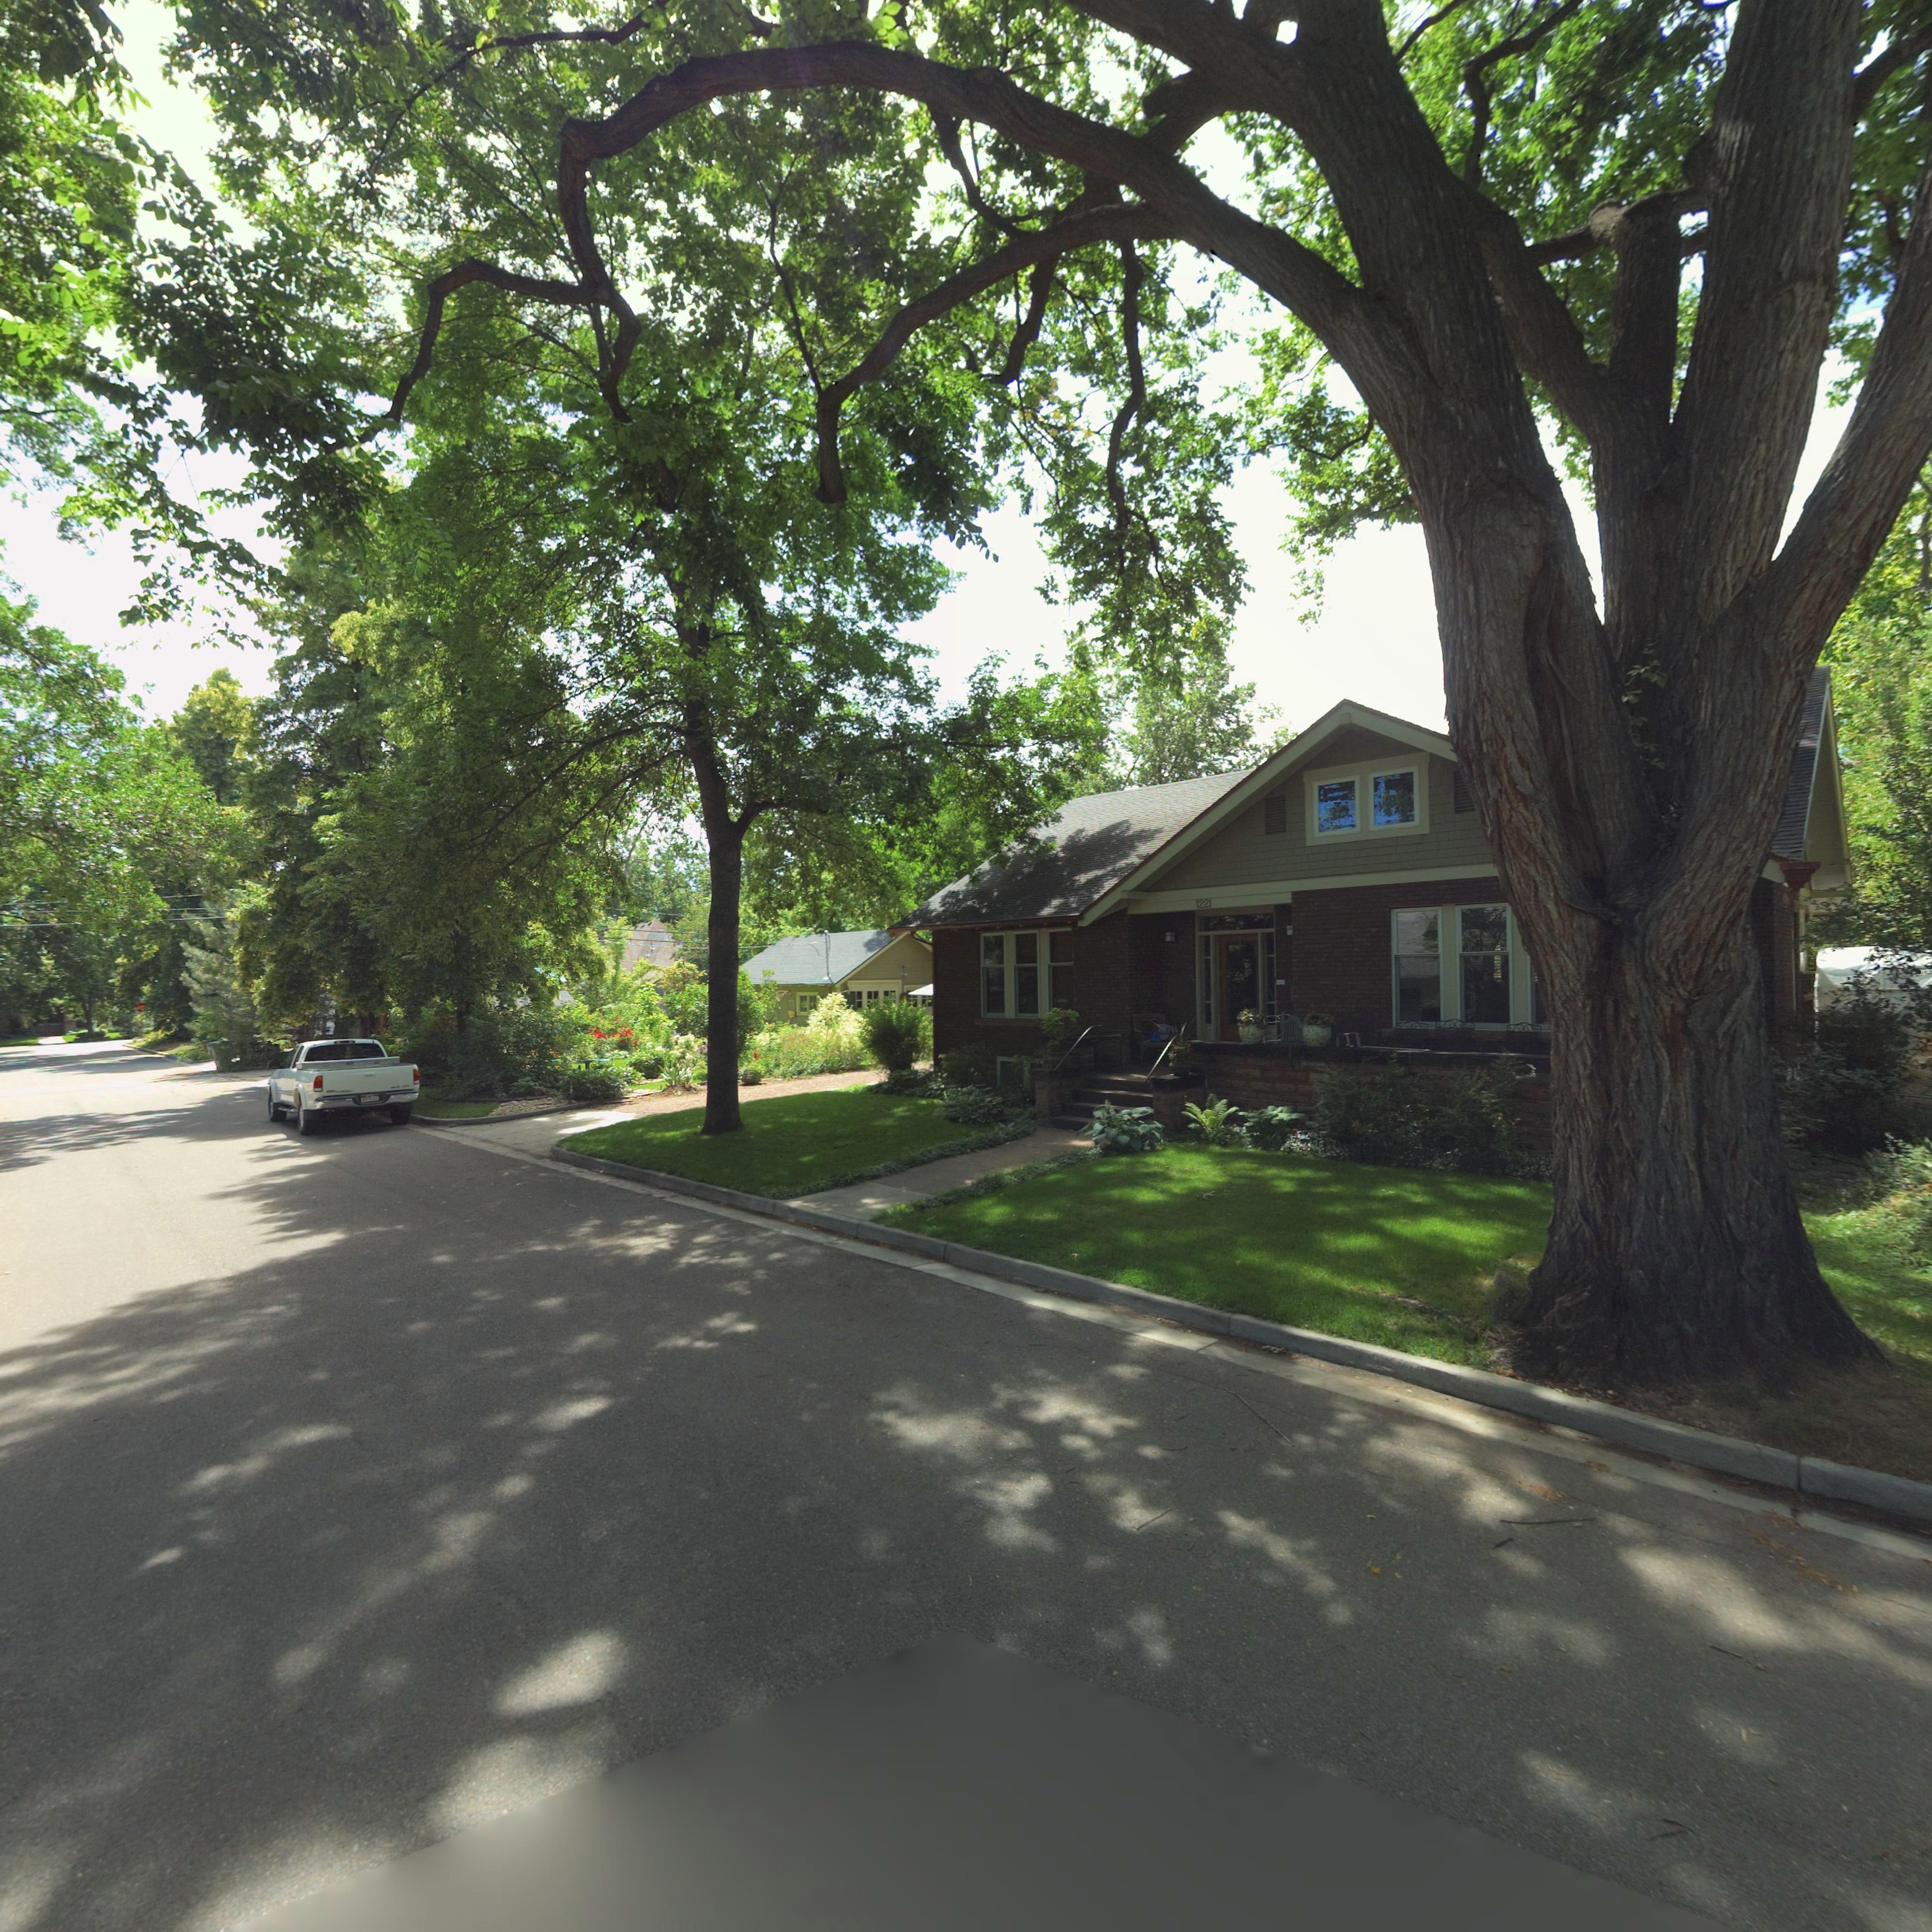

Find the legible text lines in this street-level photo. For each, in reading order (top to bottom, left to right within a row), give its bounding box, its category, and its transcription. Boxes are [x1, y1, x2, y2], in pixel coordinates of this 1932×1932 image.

[1196, 898, 1211, 908] StreetNumber: 1221